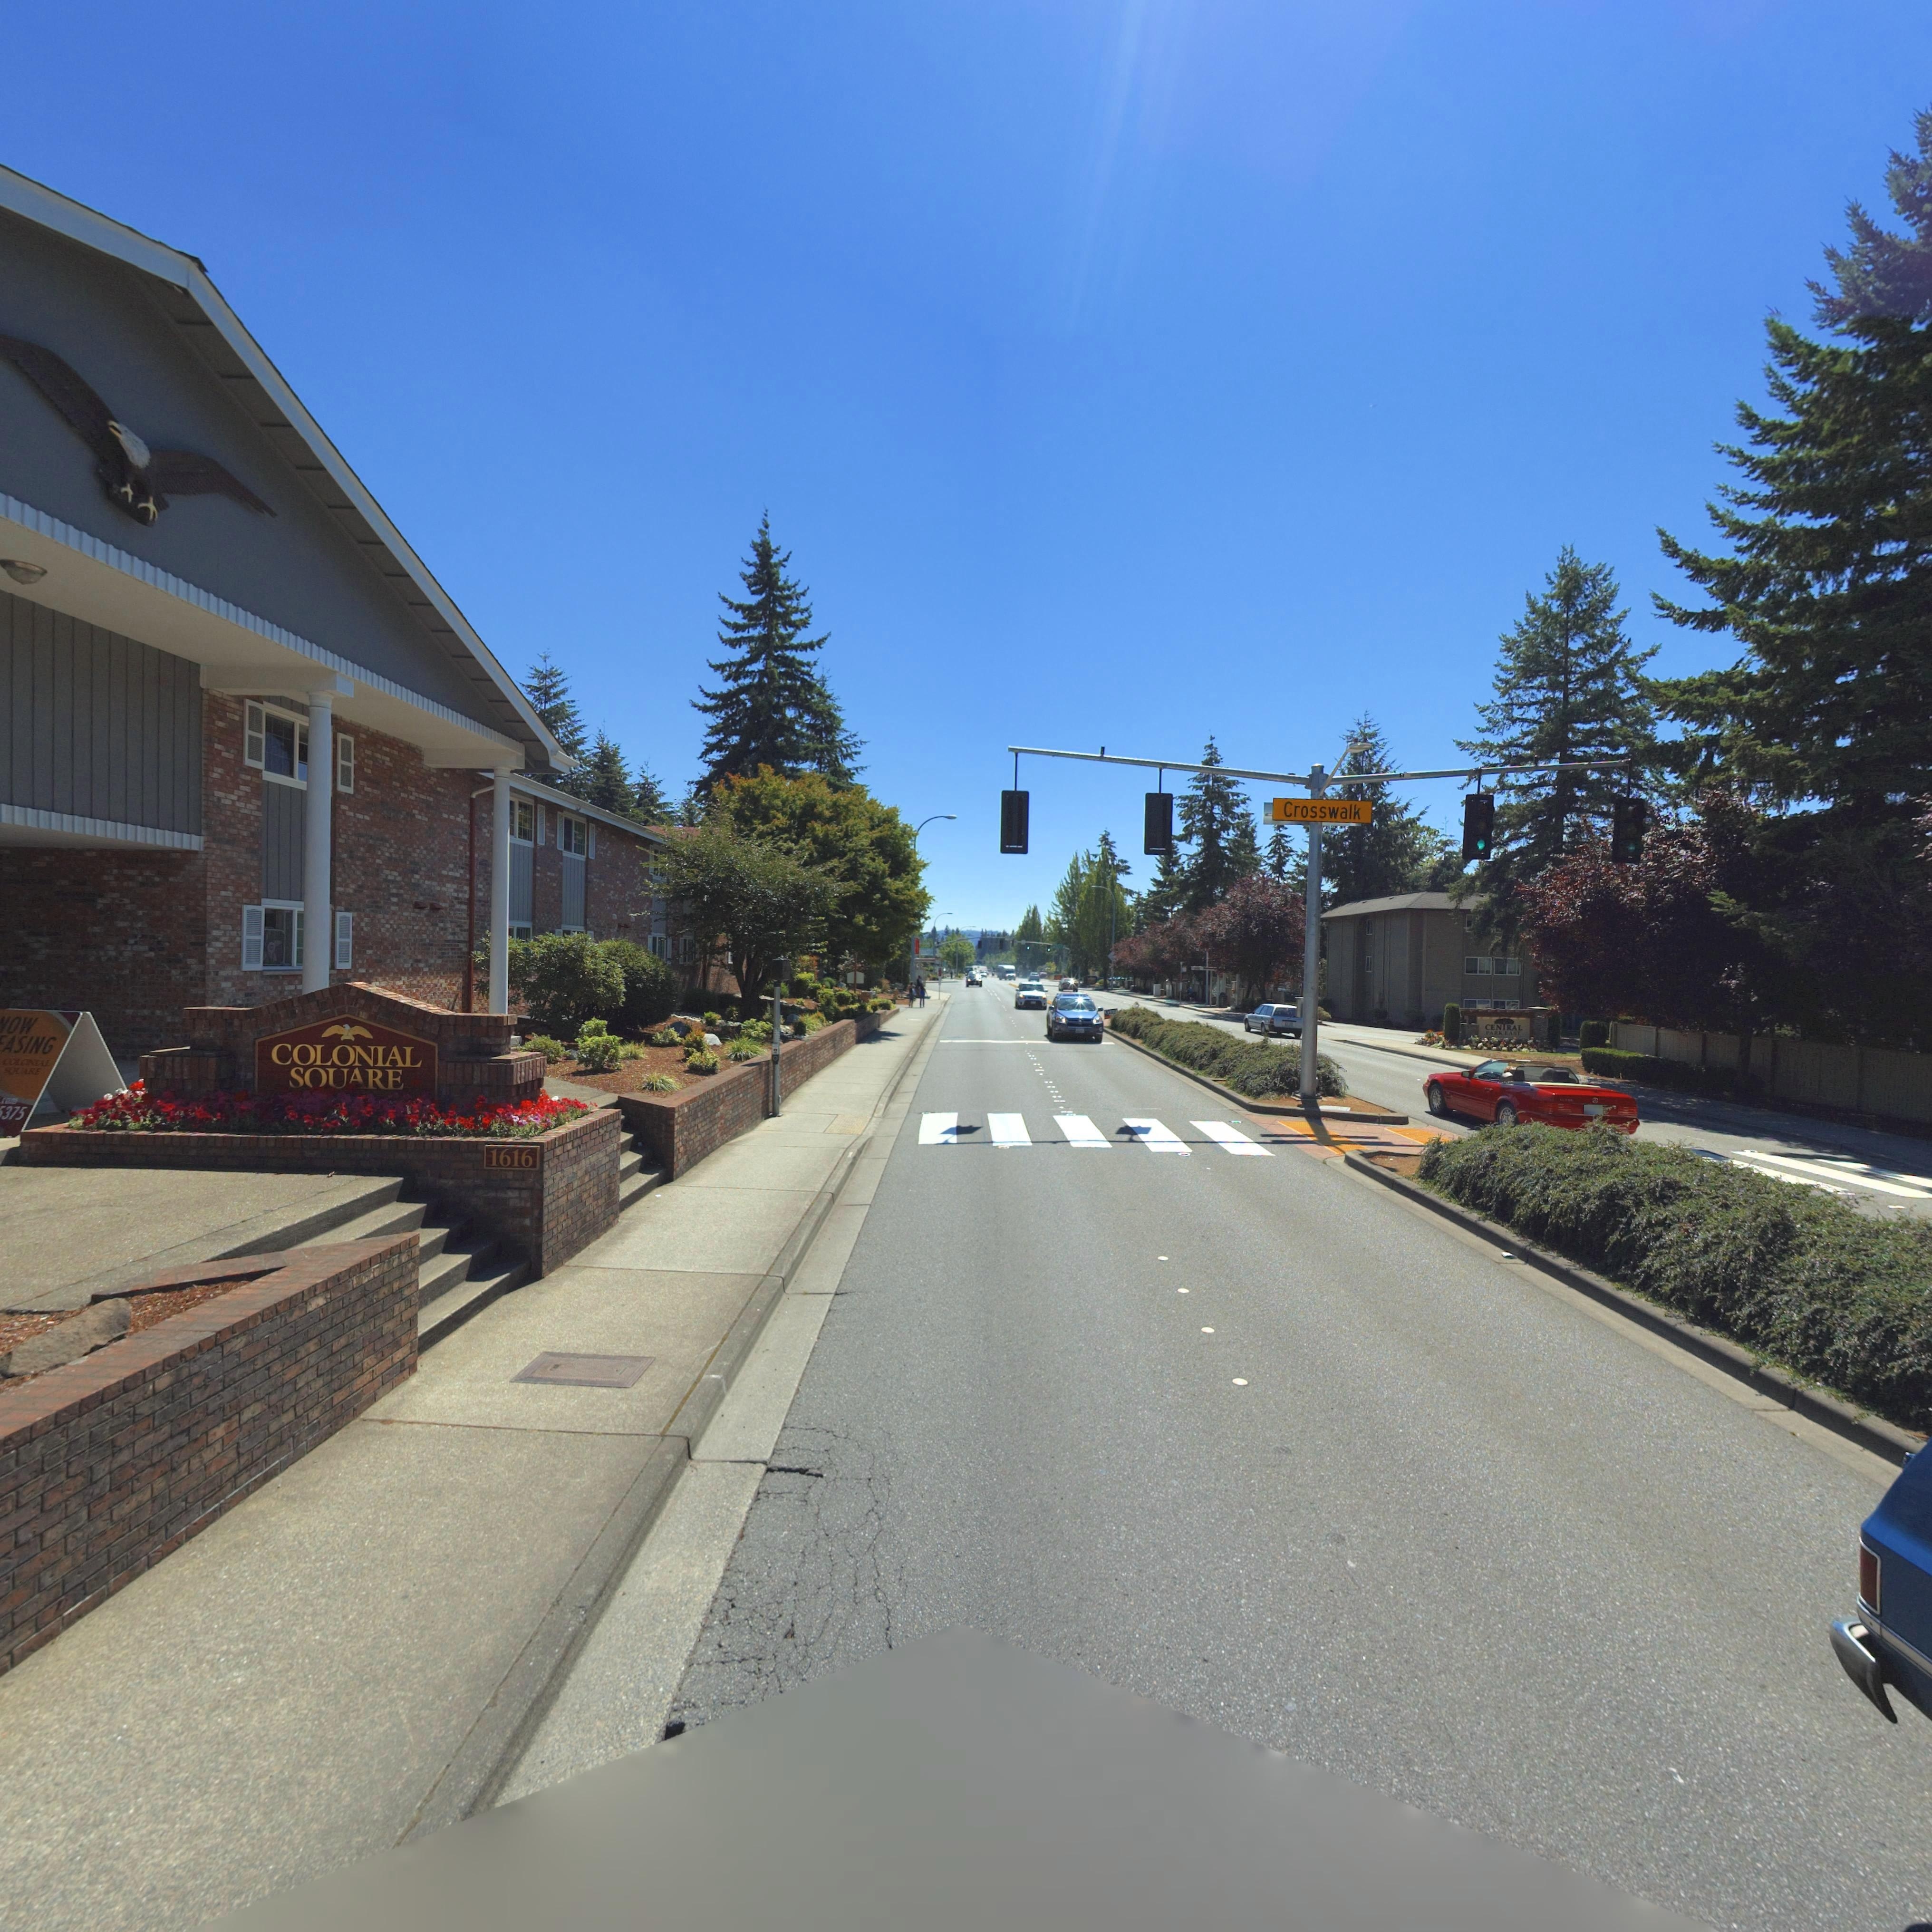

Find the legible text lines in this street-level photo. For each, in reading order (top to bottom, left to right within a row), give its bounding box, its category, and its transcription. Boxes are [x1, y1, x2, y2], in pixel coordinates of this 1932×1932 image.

[270, 1043, 423, 1068] BusinessName: COLONIAL
[288, 1065, 406, 1091] BusinessName: SQUARE
[488, 1147, 534, 1169] StreetNumber: 1616